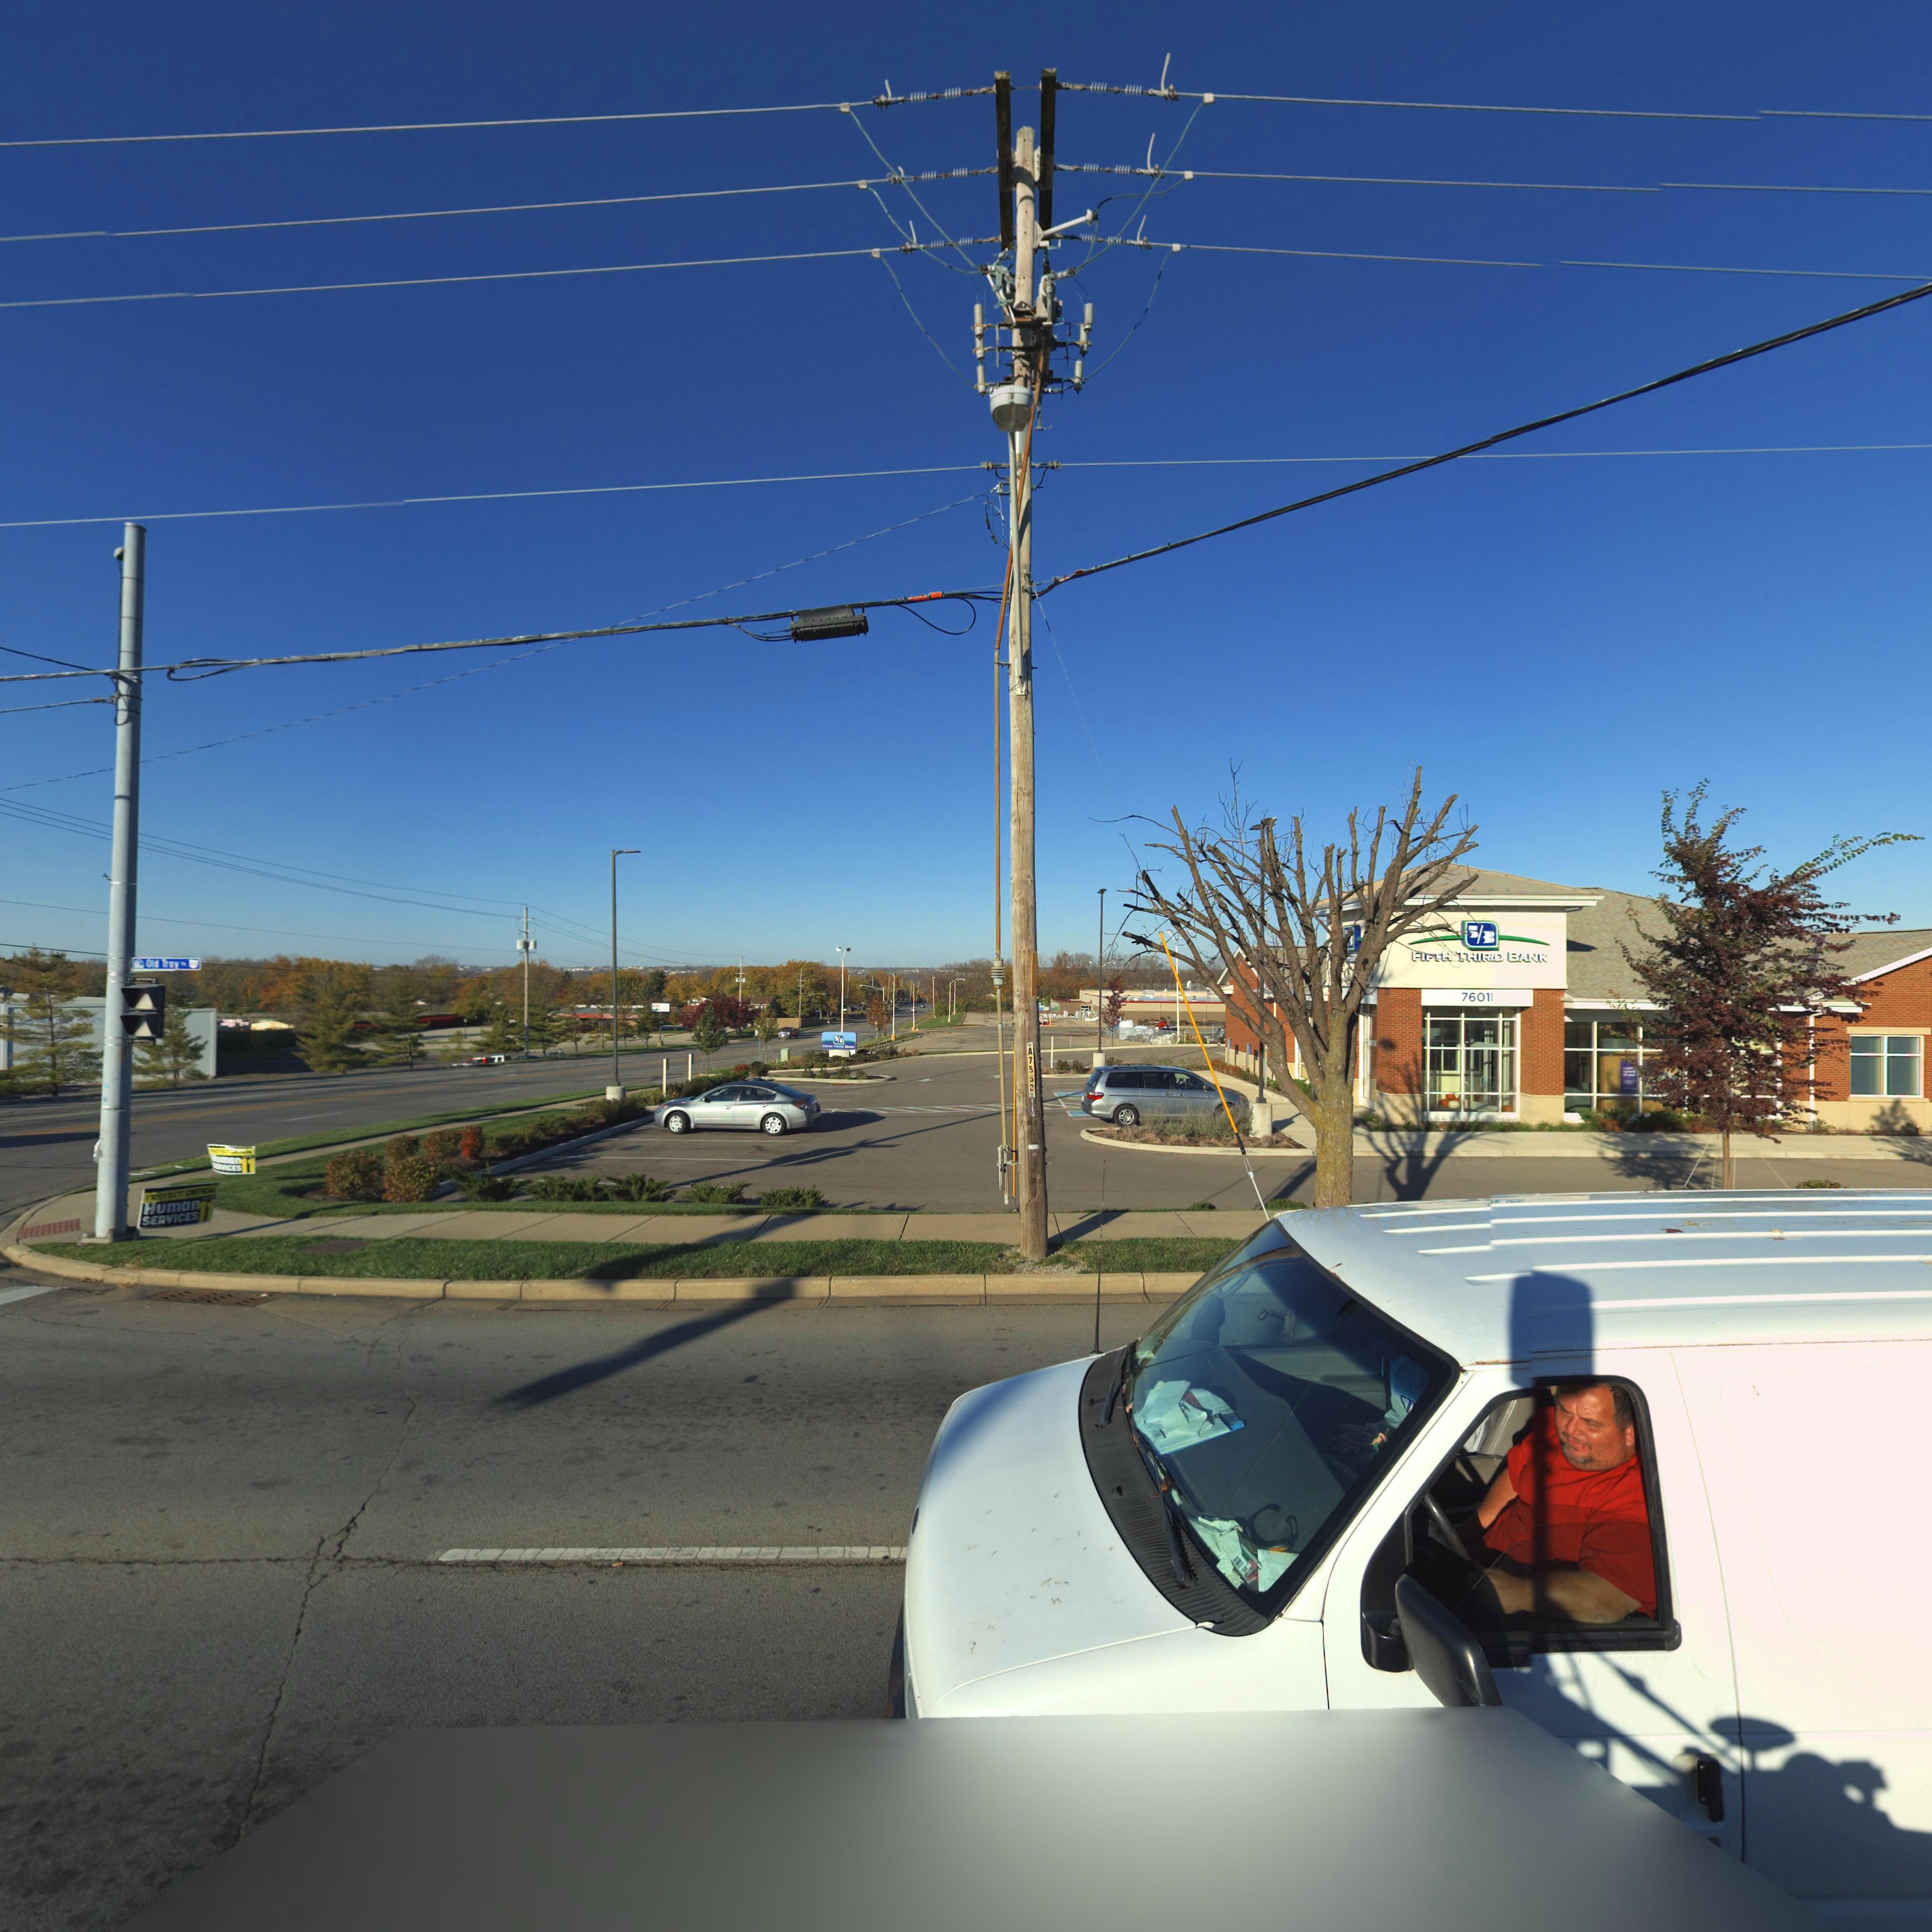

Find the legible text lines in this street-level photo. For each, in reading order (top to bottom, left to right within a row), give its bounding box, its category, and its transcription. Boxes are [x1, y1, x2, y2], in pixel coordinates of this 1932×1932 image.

[1460, 991, 1491, 1003] StreetNumber: 7601